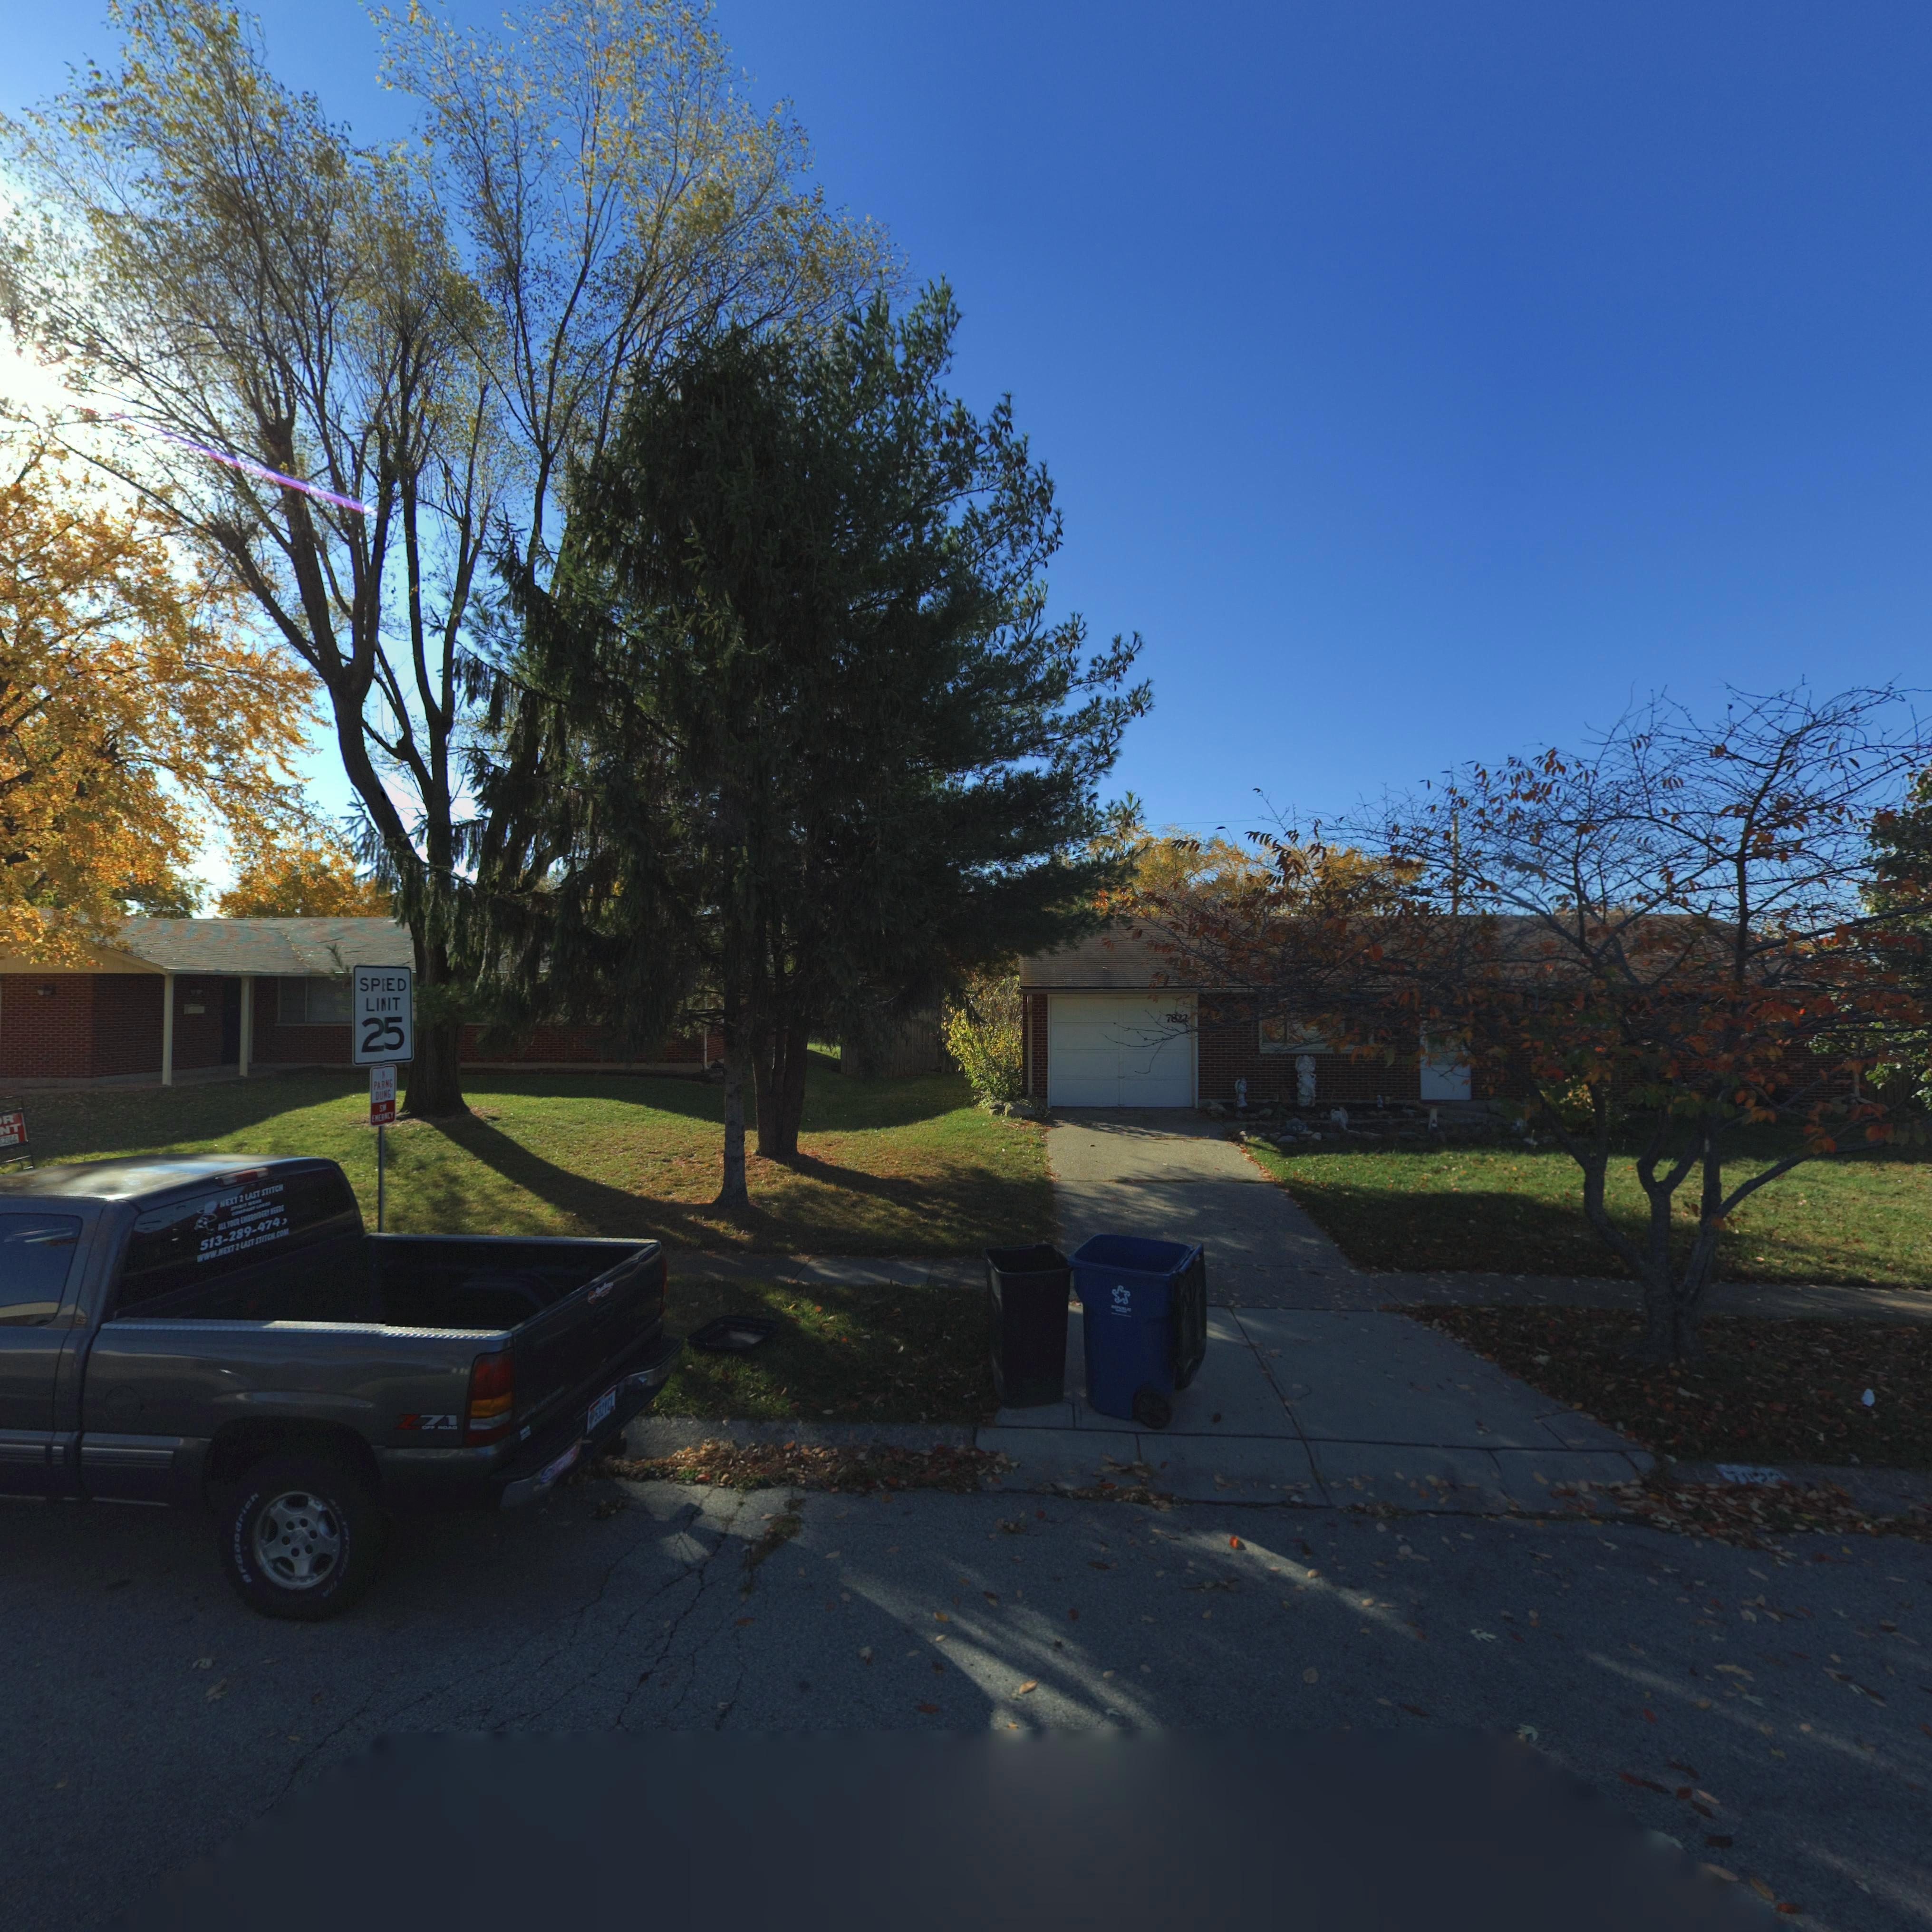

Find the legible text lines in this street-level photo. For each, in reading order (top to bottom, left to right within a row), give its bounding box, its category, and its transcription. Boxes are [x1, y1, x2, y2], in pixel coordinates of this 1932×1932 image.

[1166, 1013, 1189, 1023] StreetNumber: 782*
[1723, 1469, 1763, 1488] StreetNumber: 78